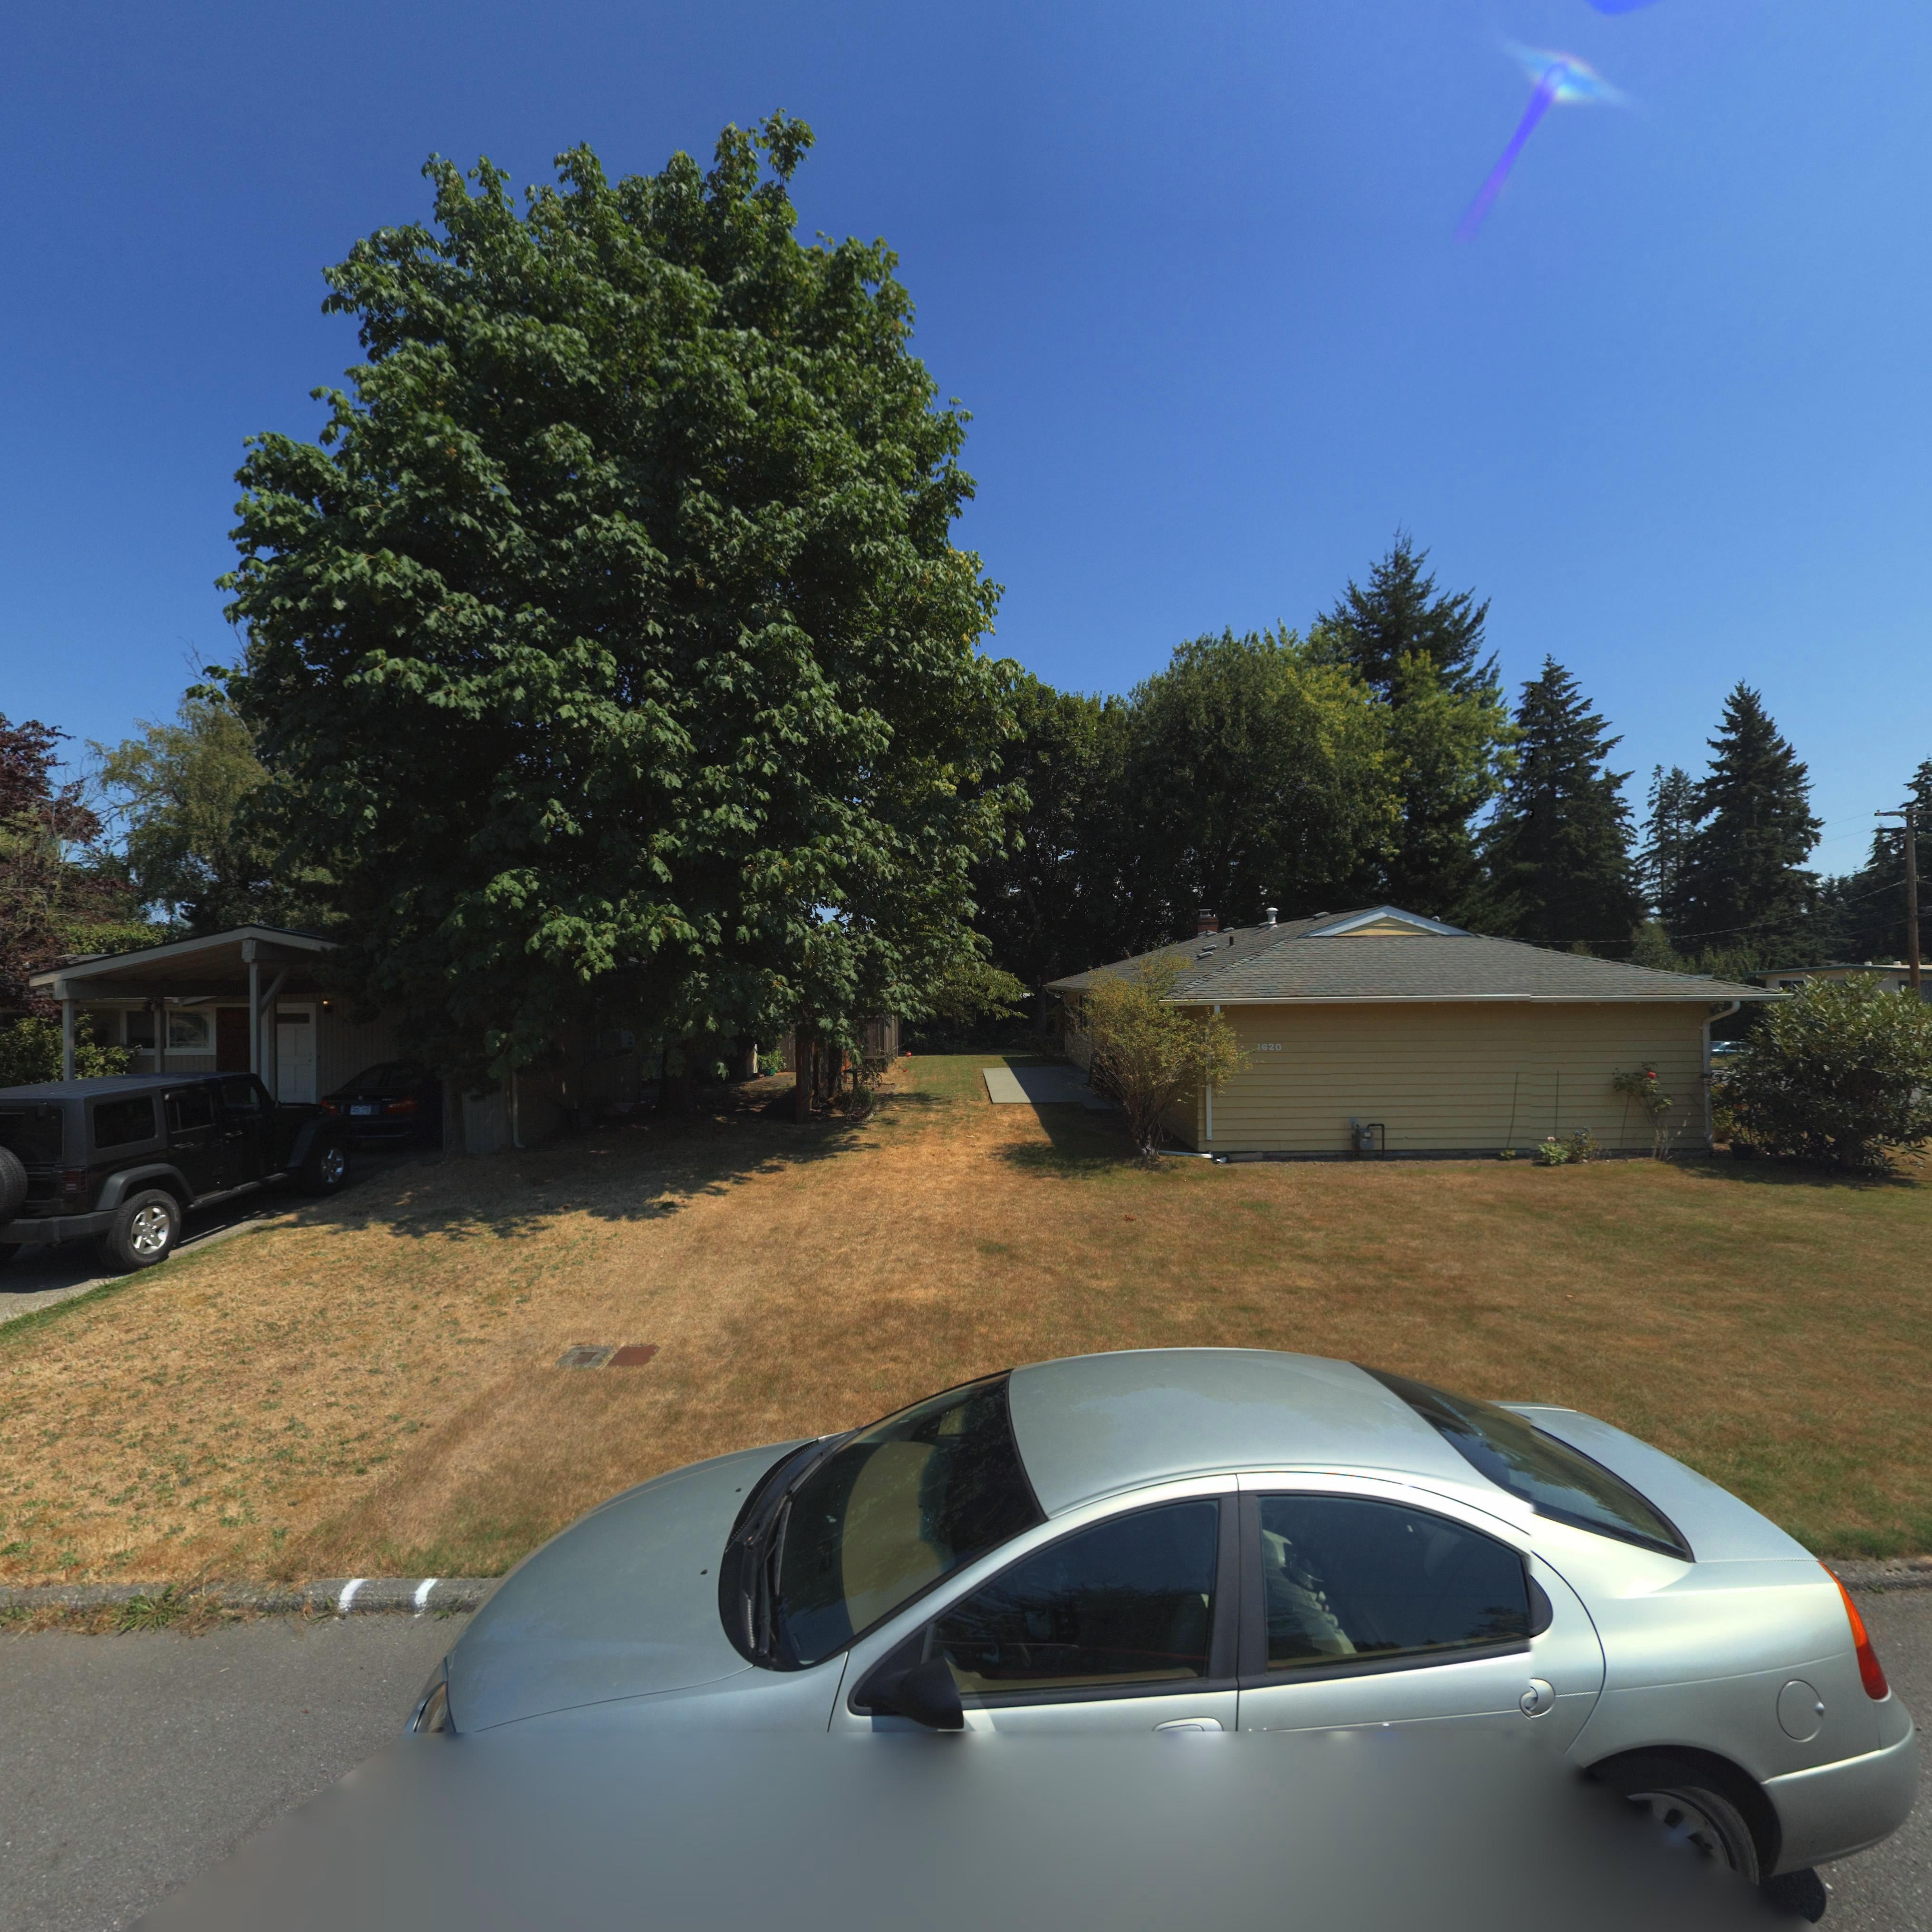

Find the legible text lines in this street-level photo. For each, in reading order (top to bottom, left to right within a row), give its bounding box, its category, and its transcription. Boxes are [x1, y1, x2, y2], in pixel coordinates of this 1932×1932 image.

[1256, 1043, 1282, 1051] StreetNumber: 1620